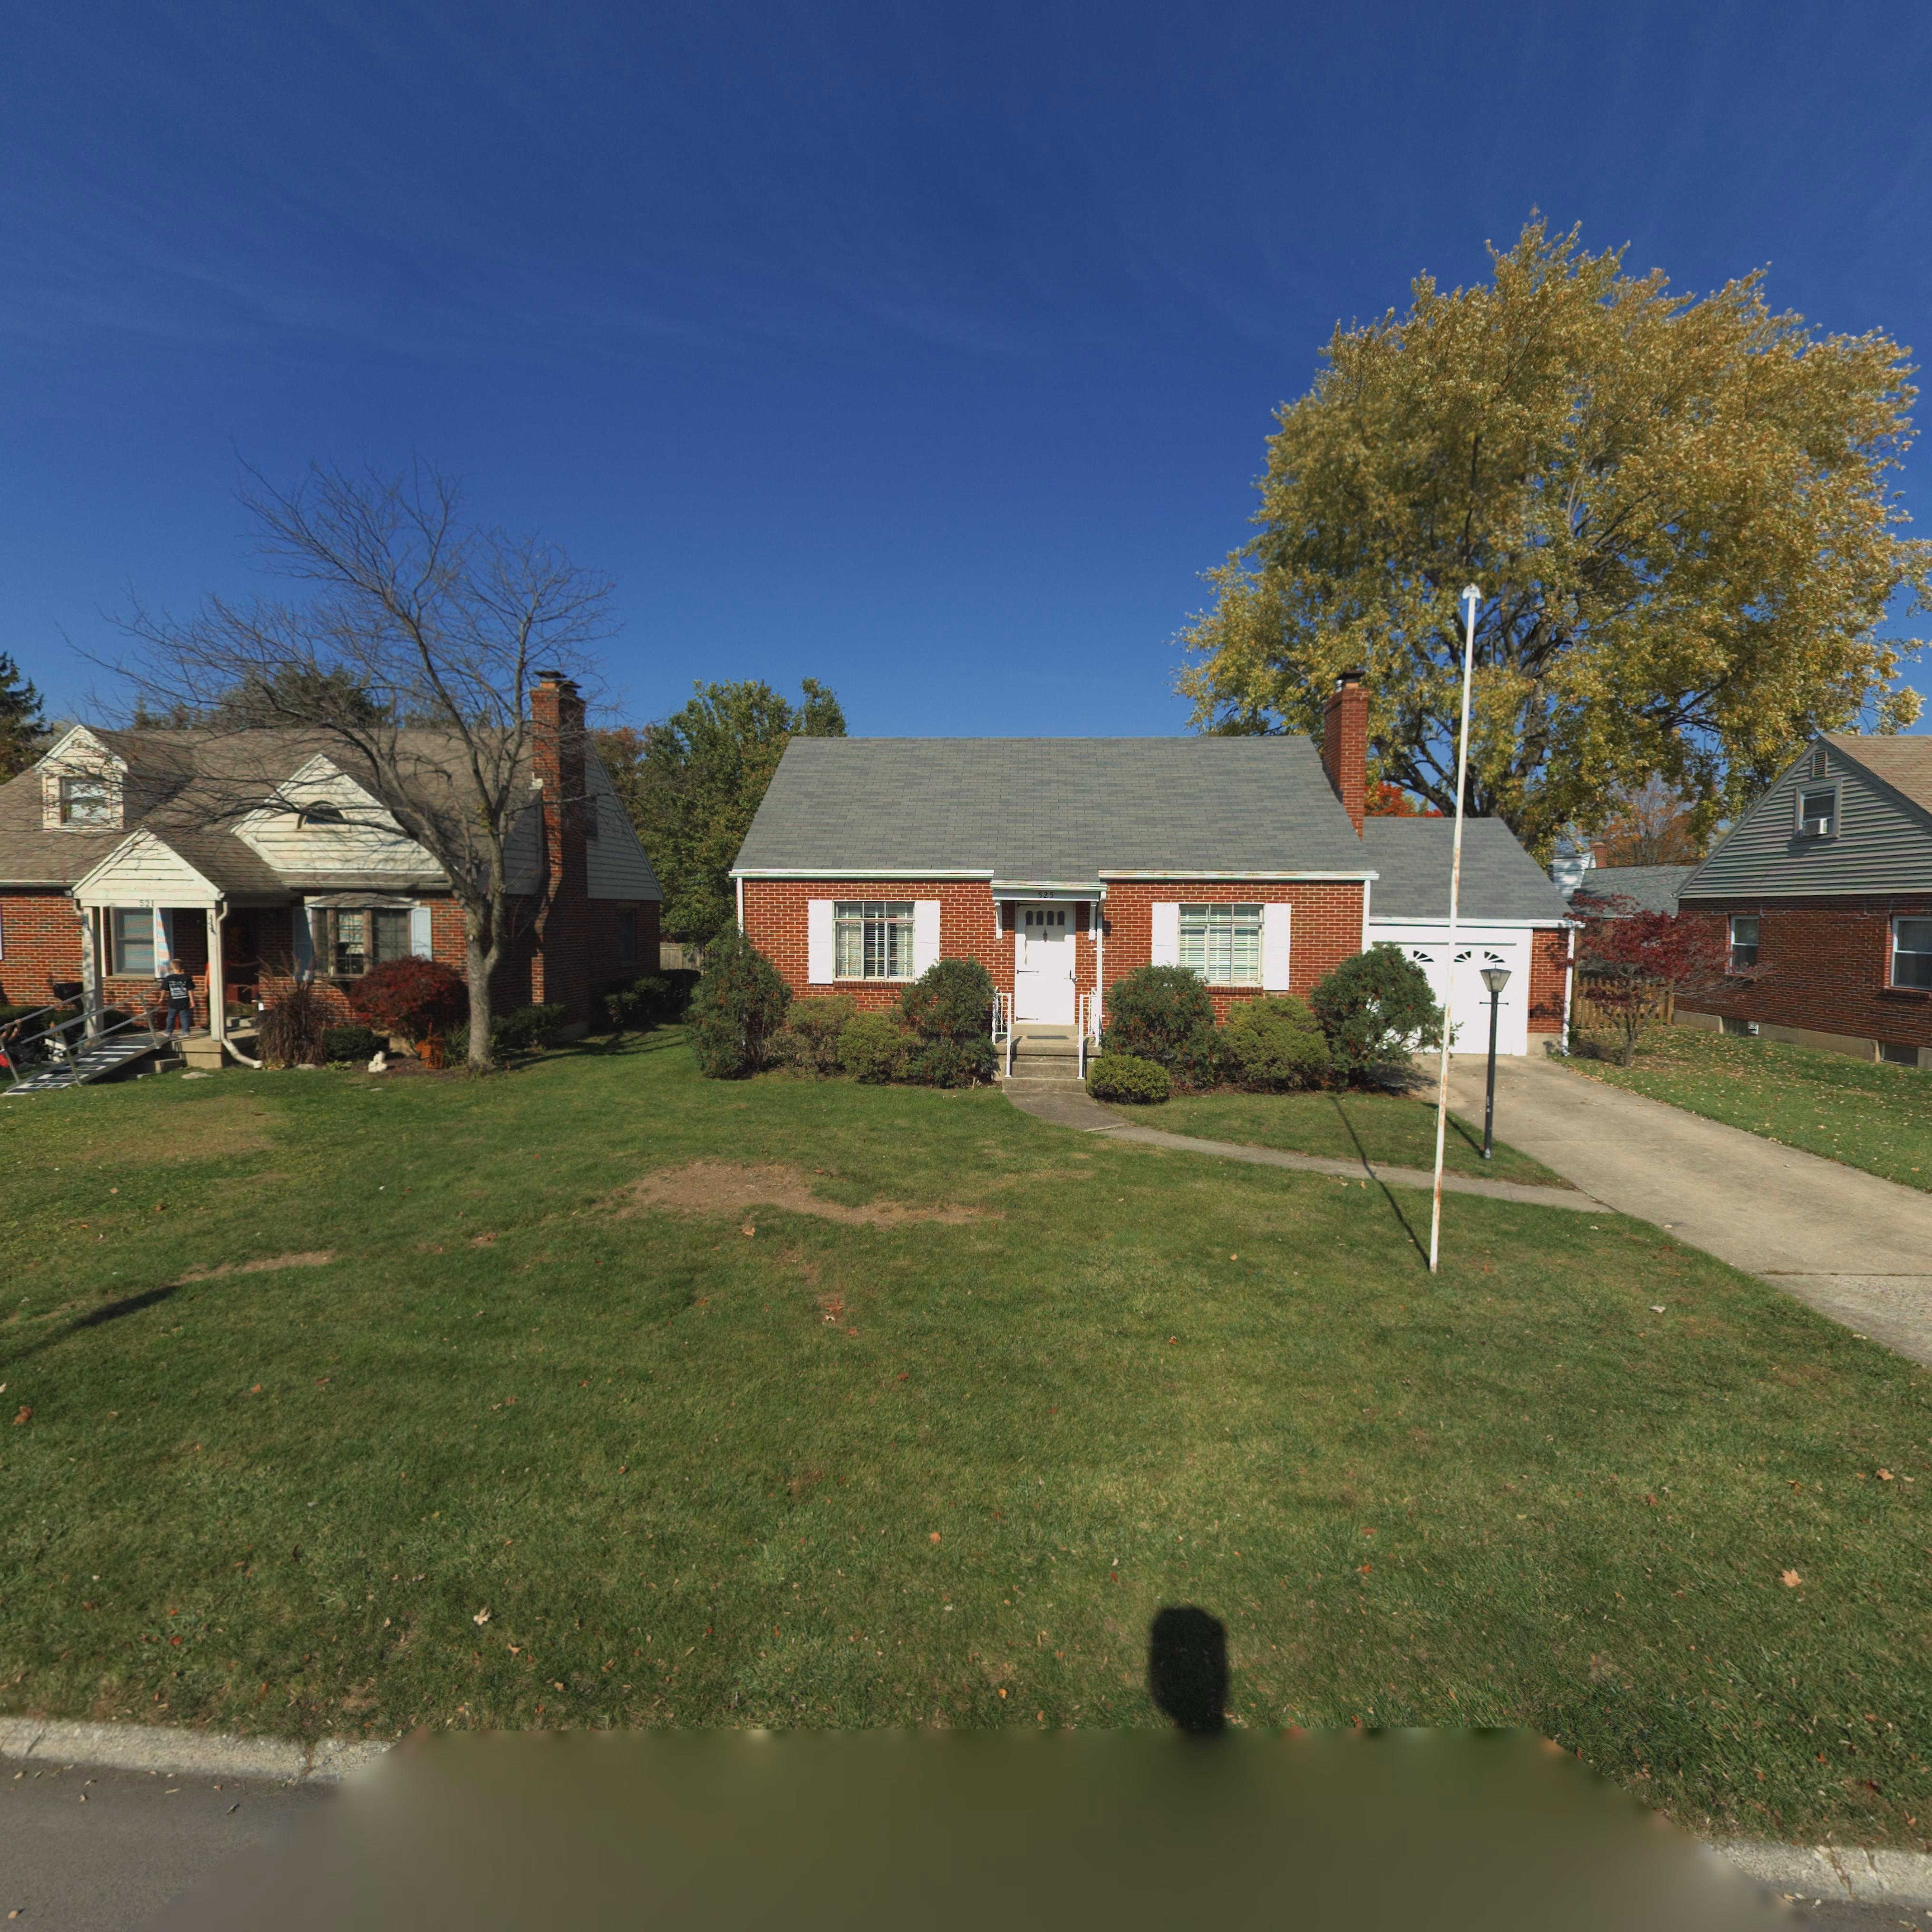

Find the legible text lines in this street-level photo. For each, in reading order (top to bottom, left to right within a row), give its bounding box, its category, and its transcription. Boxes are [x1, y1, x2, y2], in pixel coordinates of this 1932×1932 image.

[1038, 891, 1054, 898] StreetNumber: 525
[139, 899, 155, 907] StreetNumber: 521